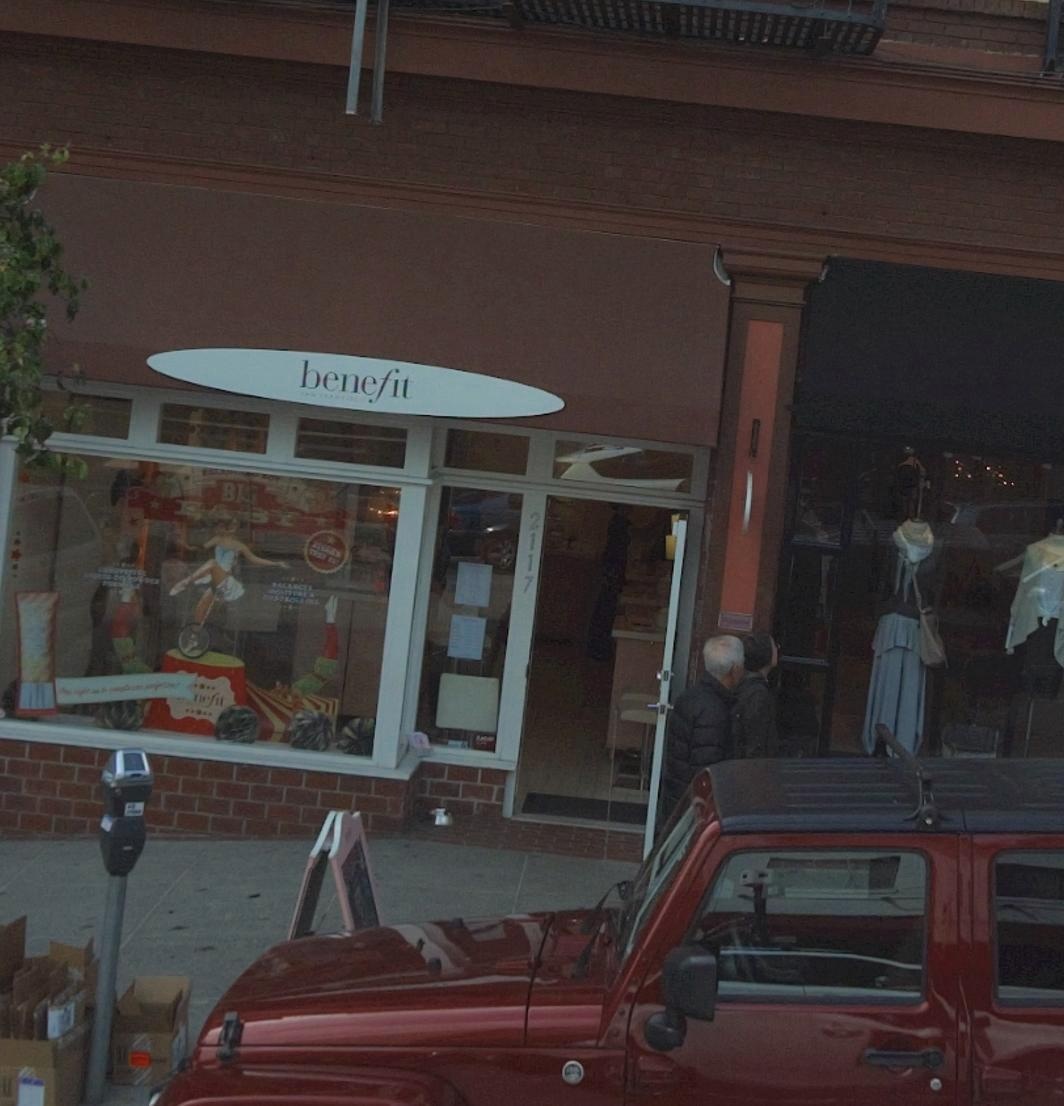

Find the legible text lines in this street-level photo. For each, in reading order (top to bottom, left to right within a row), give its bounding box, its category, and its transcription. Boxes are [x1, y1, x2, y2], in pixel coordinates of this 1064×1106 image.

[296, 356, 418, 406] BusinessName: benefit
[219, 478, 239, 505] None: B
[520, 509, 544, 596] StreetNumber: 2117
[199, 690, 226, 709] BusinessName: efit